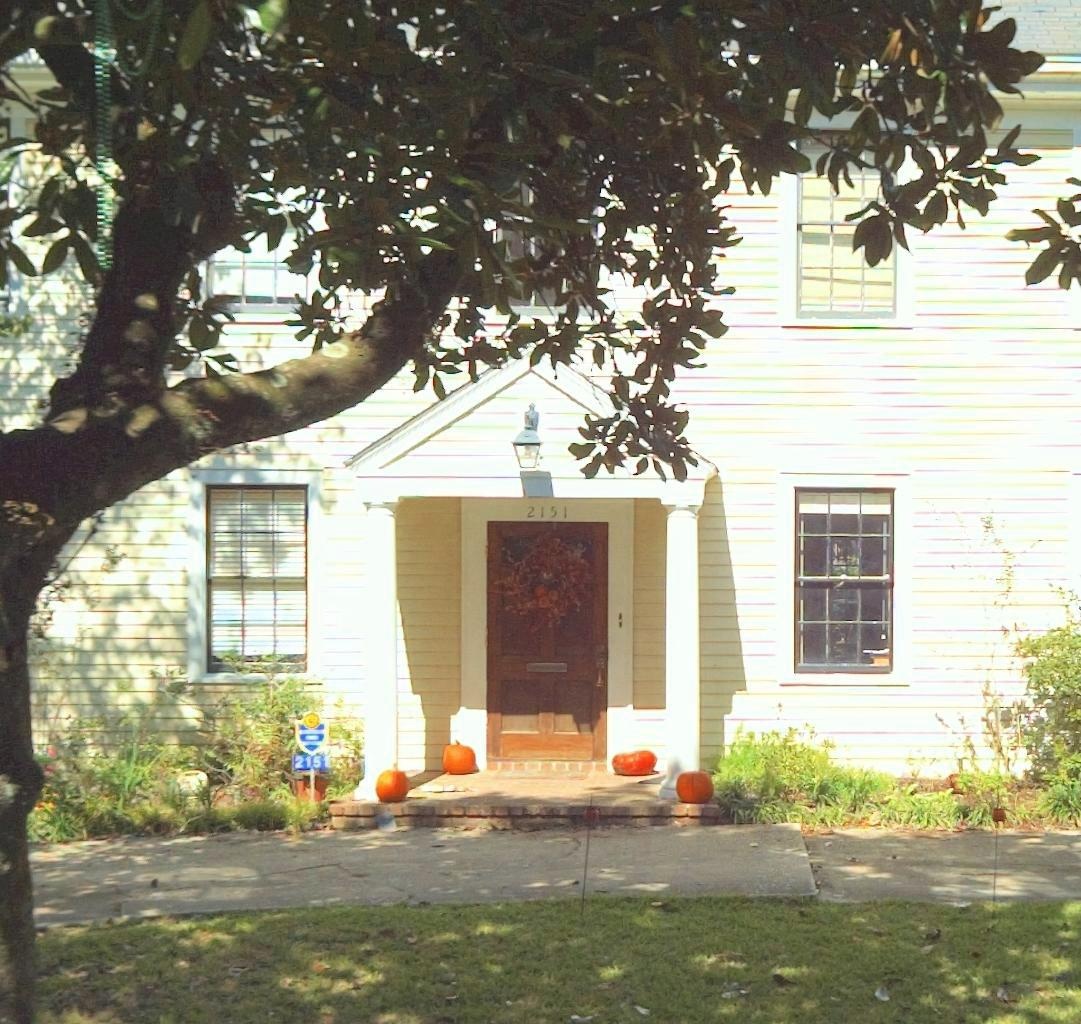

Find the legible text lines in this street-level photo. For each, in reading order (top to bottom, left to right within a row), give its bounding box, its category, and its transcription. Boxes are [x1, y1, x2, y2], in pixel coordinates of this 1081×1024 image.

[525, 504, 569, 521] StreetNumber: 2151
[293, 754, 331, 770] StreetNumber: 215*